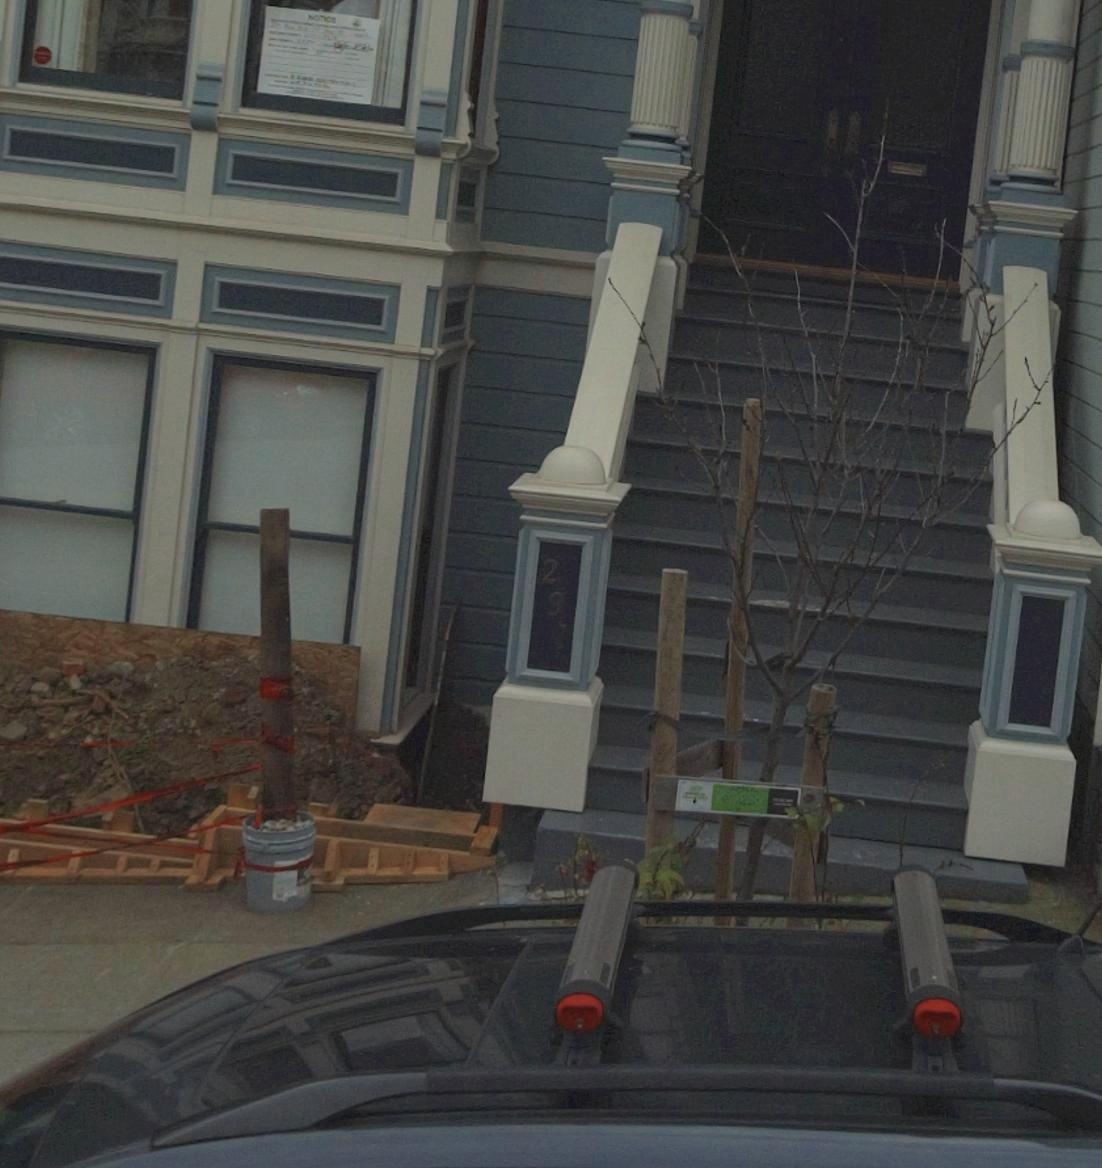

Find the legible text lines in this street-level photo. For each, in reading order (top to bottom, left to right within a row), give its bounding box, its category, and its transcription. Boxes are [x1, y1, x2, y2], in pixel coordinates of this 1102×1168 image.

[539, 554, 572, 655] StreetNumber: 291